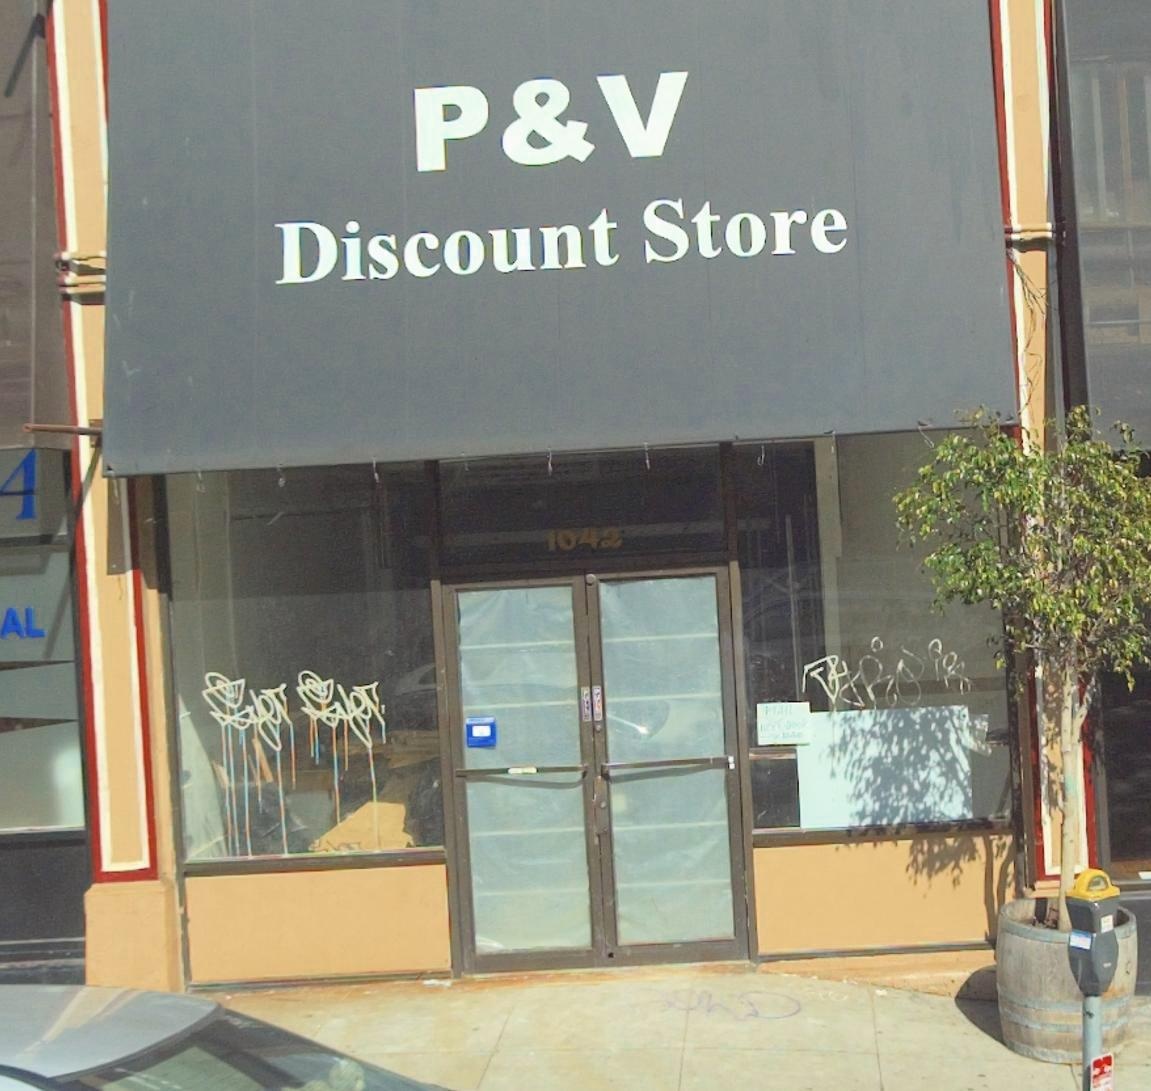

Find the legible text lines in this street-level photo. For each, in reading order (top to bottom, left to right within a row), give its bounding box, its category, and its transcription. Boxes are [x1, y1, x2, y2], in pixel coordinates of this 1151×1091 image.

[410, 68, 692, 176] BusinessName: P&V
[272, 195, 850, 287] BusinessName: Discount Store
[543, 525, 624, 553] StreetNumber: 1042
[1, 604, 47, 640] None: AL
[796, 632, 927, 709] None: **p**
[924, 636, 979, 699] None: **8
[764, 703, 796, 717] None: MA**
[704, 989, 804, 1023] None: hD